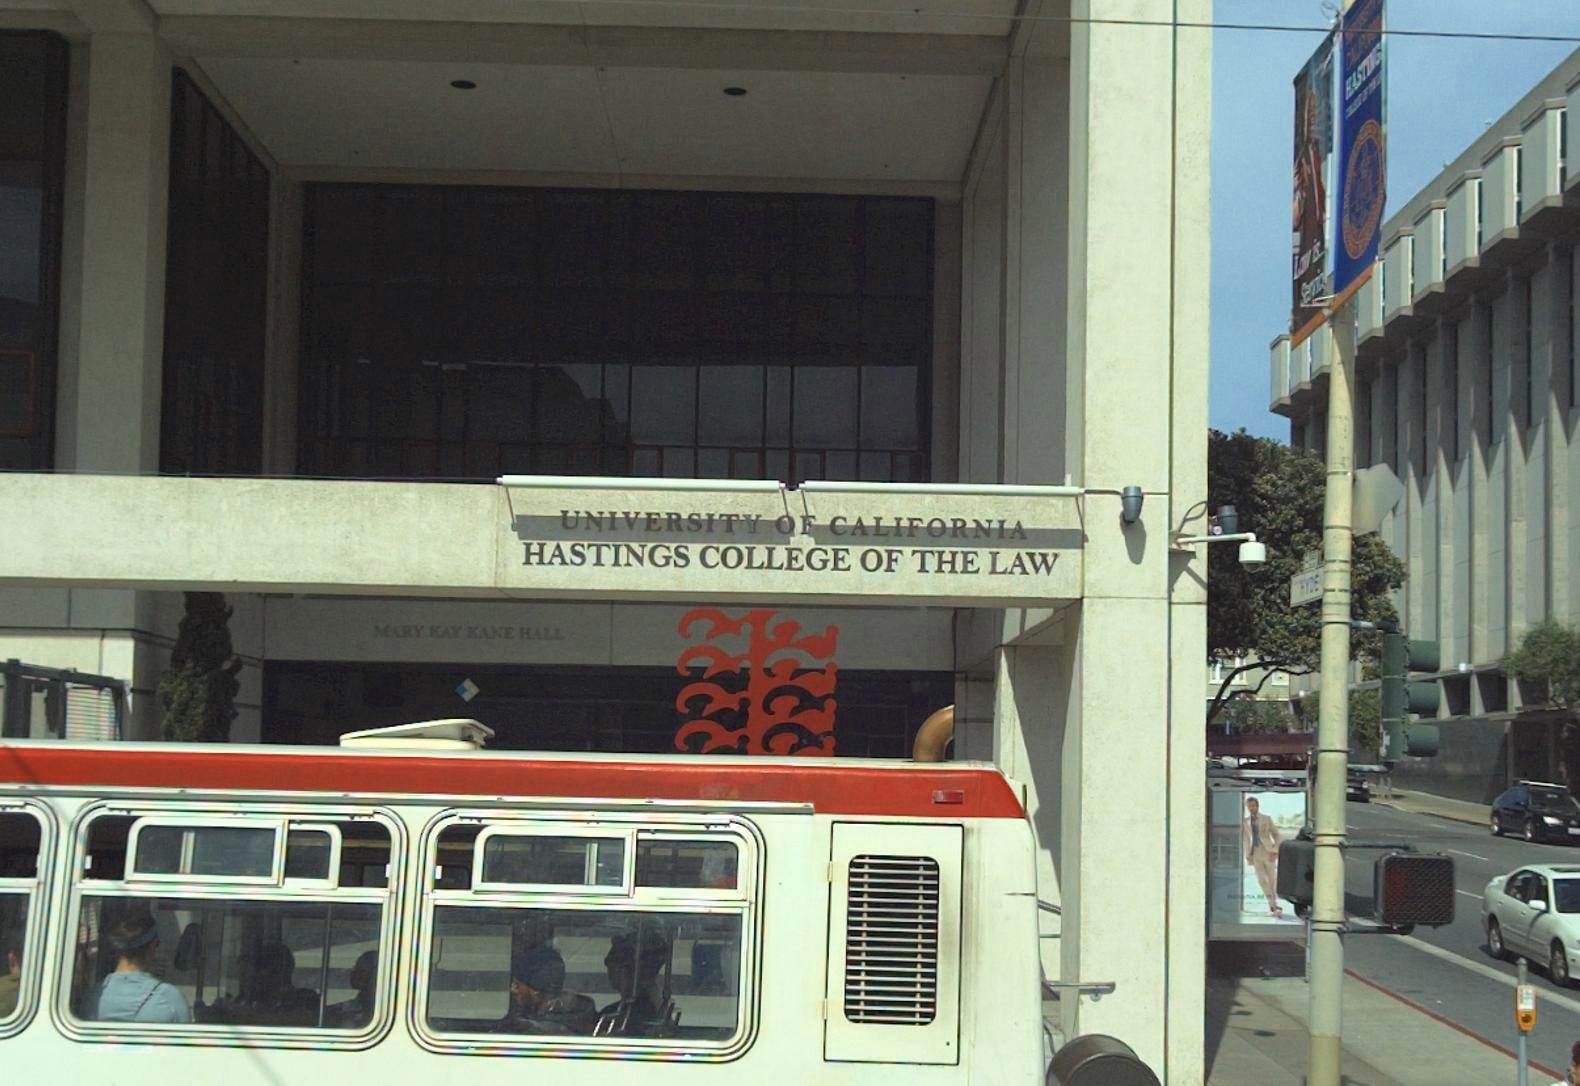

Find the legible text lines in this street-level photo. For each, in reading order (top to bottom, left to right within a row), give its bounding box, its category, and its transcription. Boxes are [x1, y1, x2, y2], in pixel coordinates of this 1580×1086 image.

[558, 508, 1031, 542] BusinessName: UNIVERSITY OF CALIFONIA
[519, 538, 1069, 579] BusinessName: HASTINGS COLLEGE OF THE LAW
[1296, 570, 1322, 602] StreetName: HYDE
[372, 623, 569, 642] BusinessName: MARY KAY KANE HALL